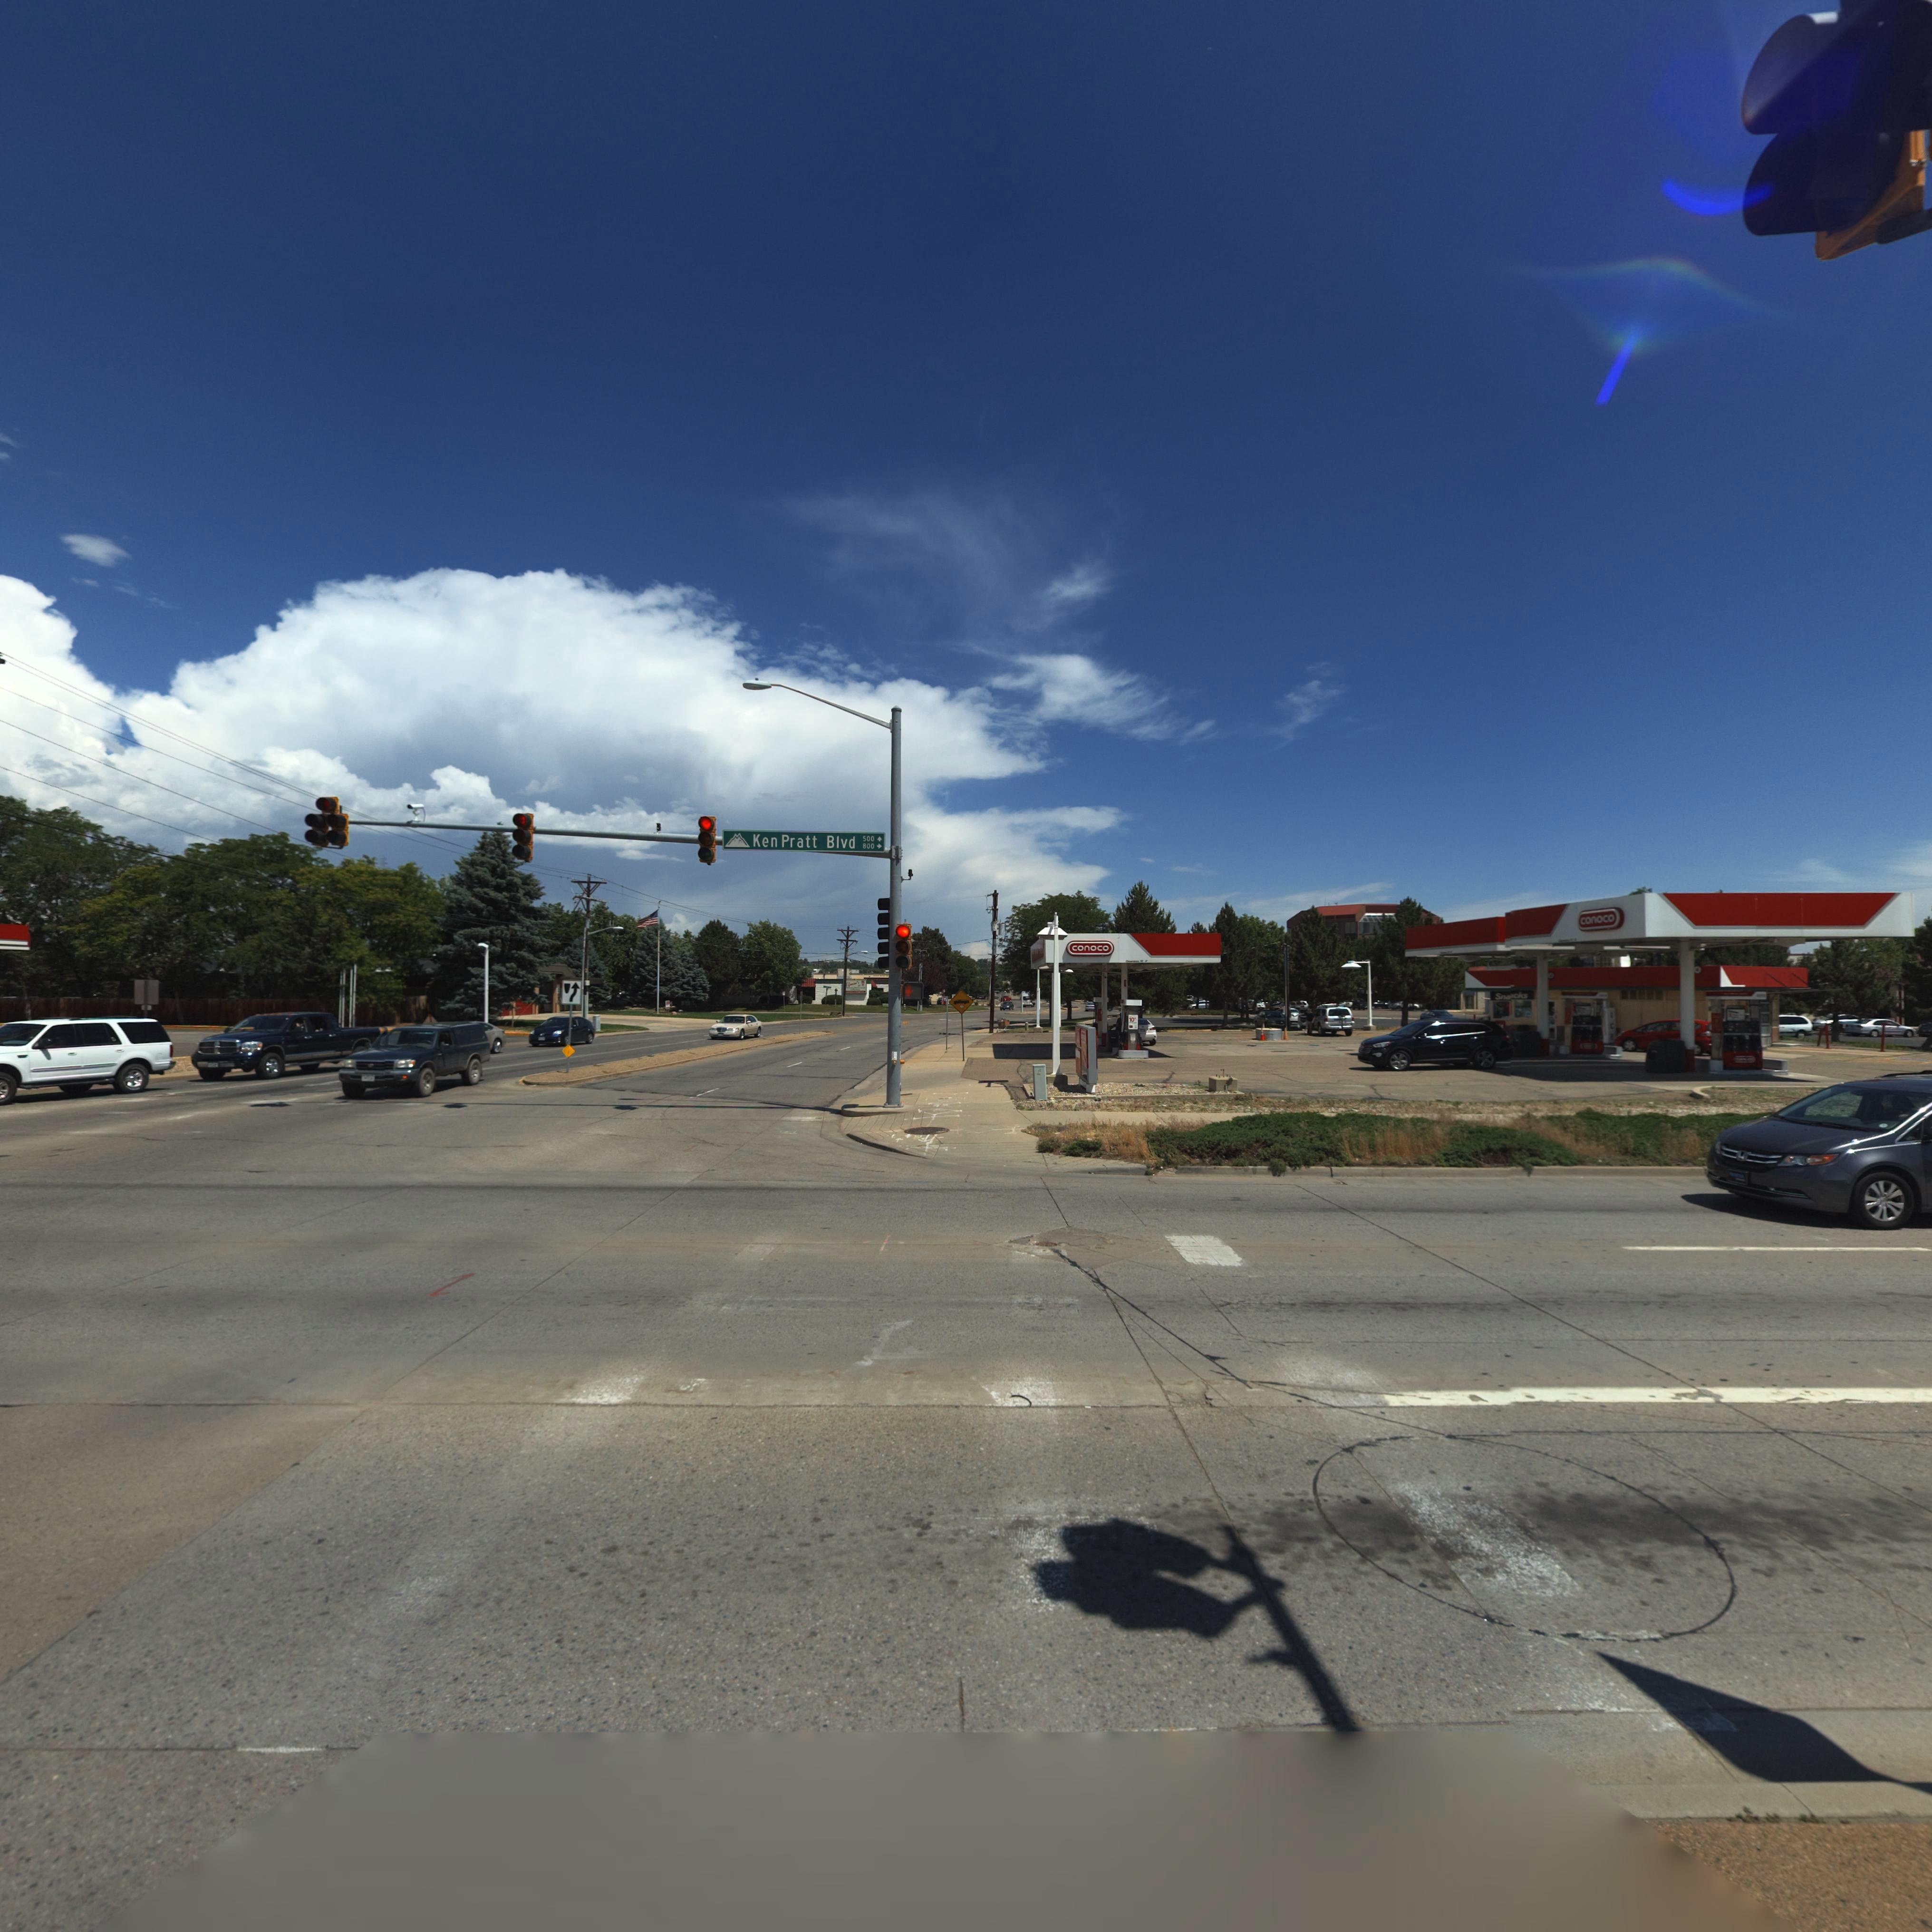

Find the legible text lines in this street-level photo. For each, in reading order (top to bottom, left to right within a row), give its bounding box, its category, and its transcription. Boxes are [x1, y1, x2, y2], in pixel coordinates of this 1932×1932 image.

[753, 833, 855, 849] StreetName: Ken Pratt Blvd
[862, 835, 874, 841] StreetNumberRange: 500
[862, 843, 882, 849] StreetNumberRange:  800 ->
[1580, 914, 1614, 925] BusinessName: conoco
[1071, 945, 1109, 951] BusinessName: conoco